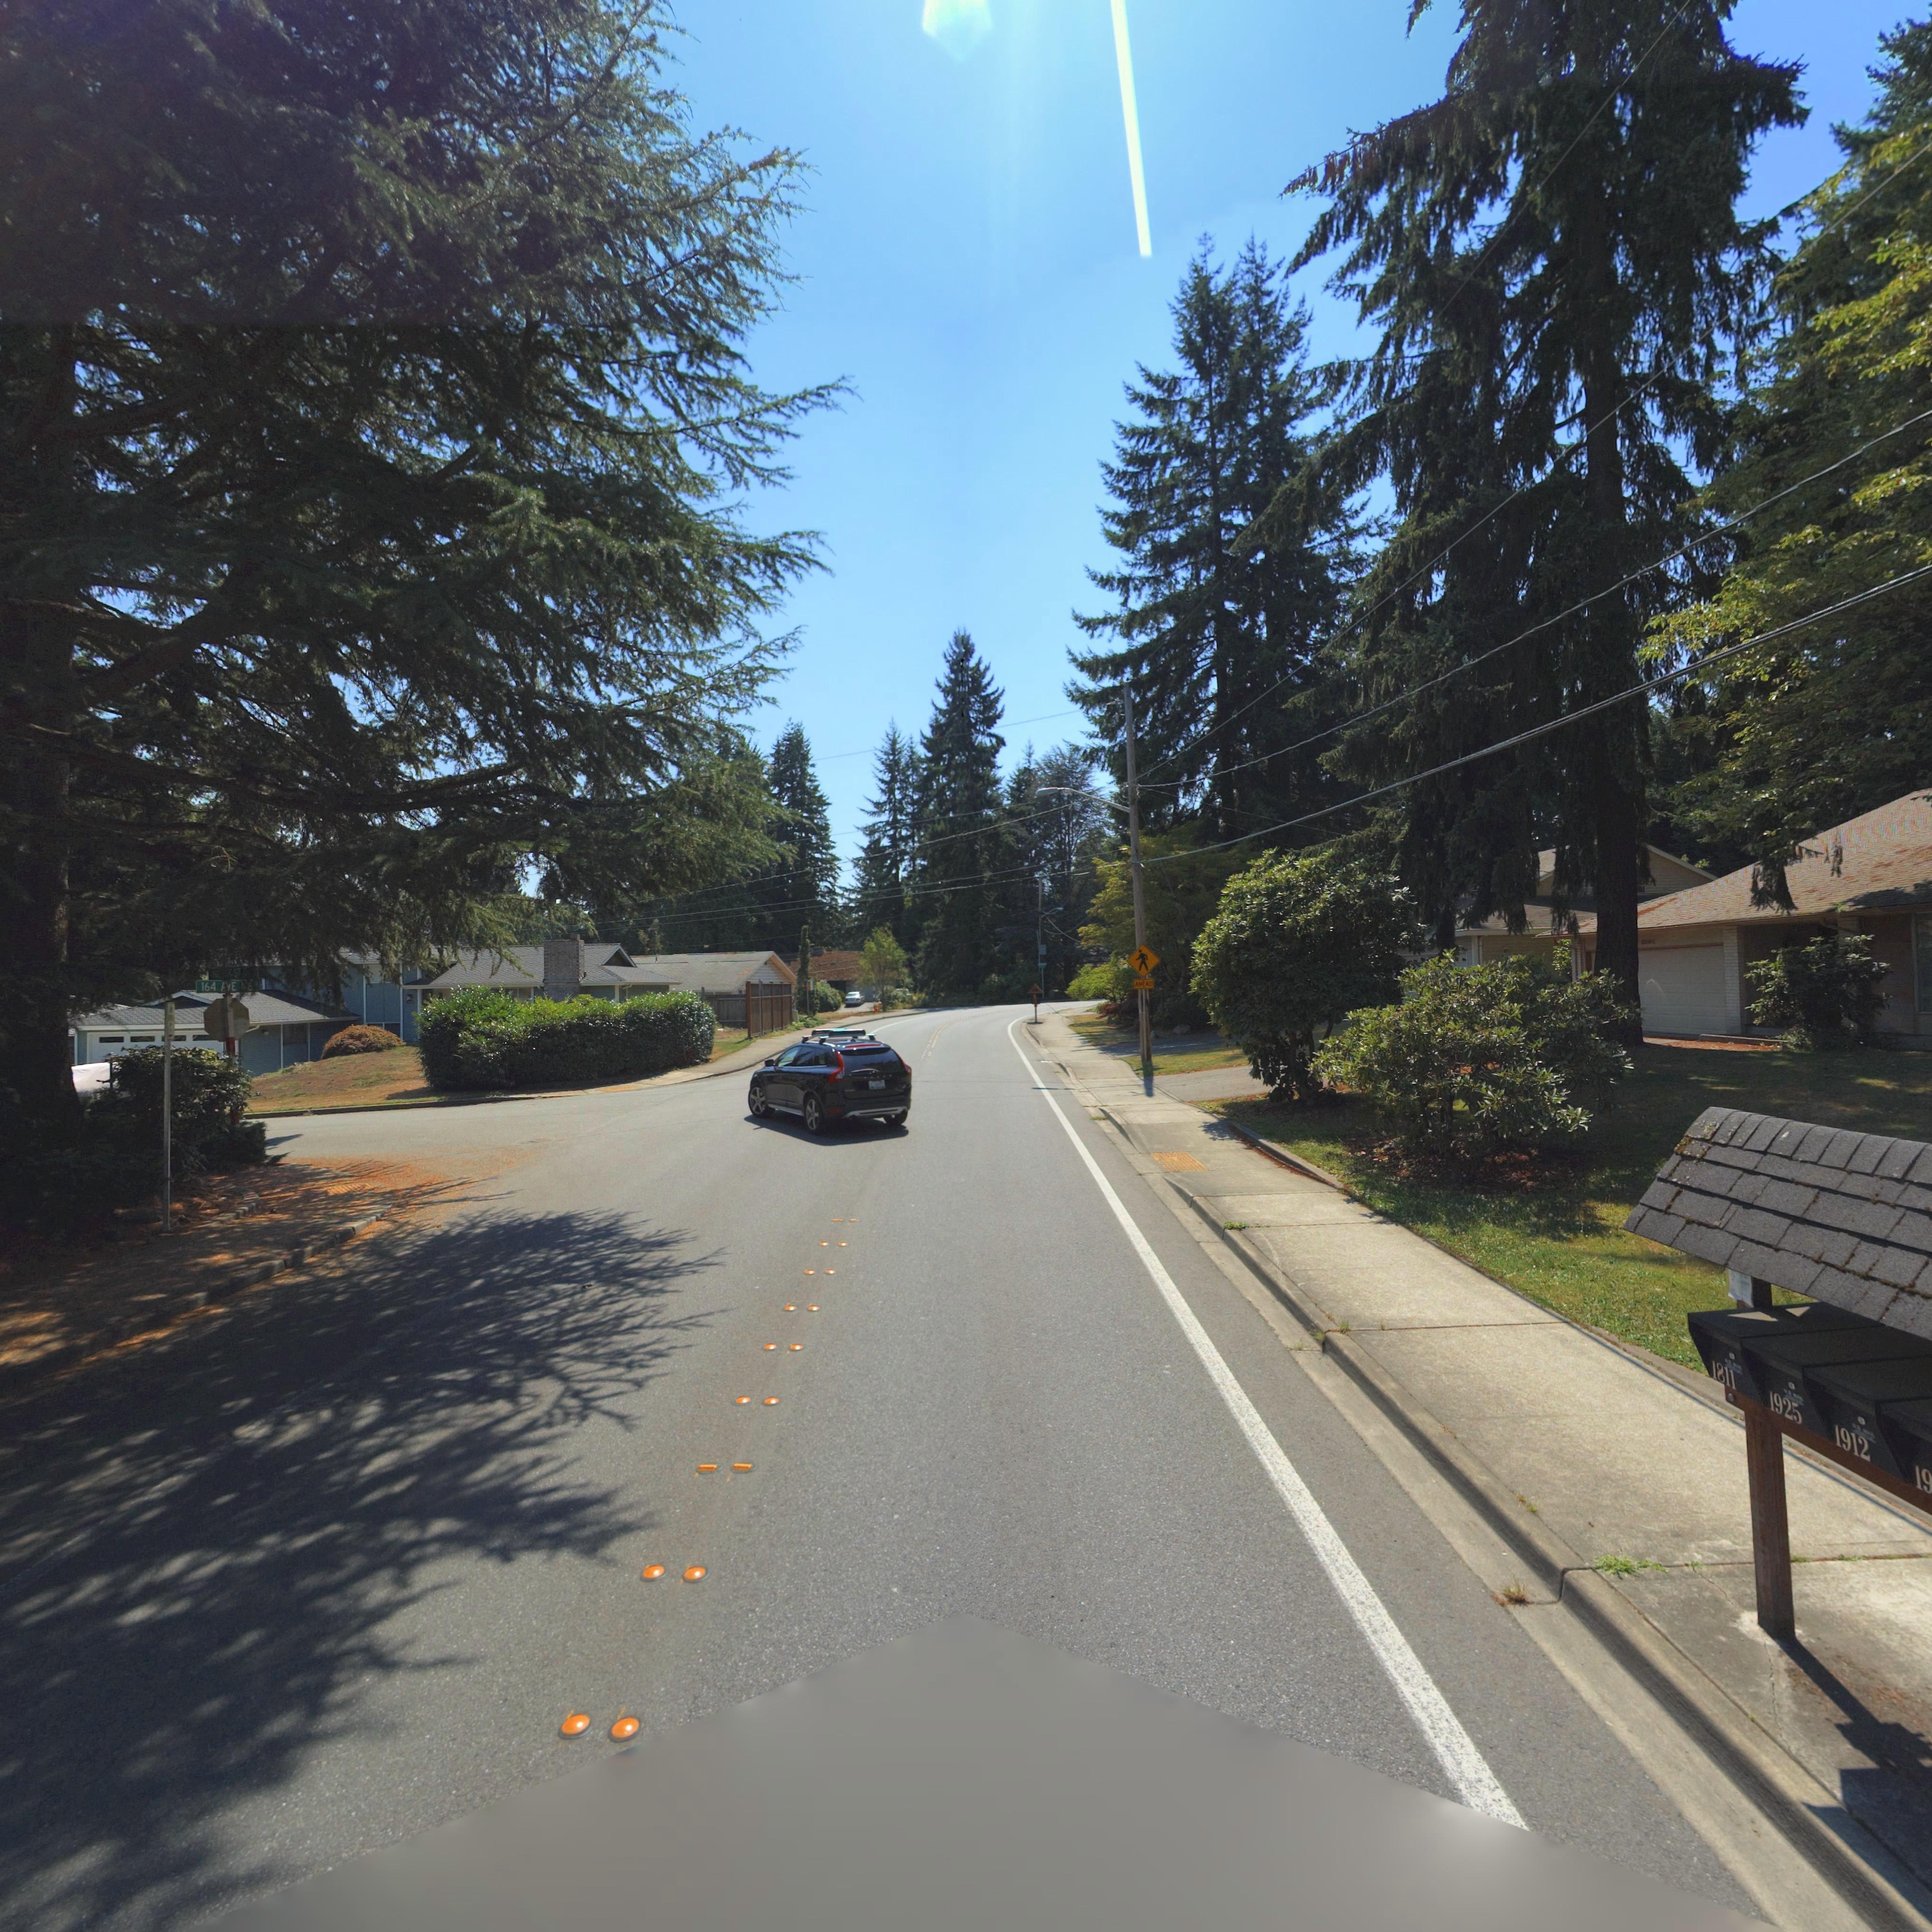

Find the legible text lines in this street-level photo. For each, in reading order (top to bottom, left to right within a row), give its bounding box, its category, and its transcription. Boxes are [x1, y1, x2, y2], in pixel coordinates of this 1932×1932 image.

[200, 980, 256, 991] StreetName: 164 AVE **
[1711, 1359, 1736, 1390] StreetNumber: 1811
[1769, 1391, 1802, 1425] StreetNumber: 1925
[1834, 1424, 1871, 1463] StreetNumber: 1912
[1915, 1464, 1932, 1494] StreetNumber: 19